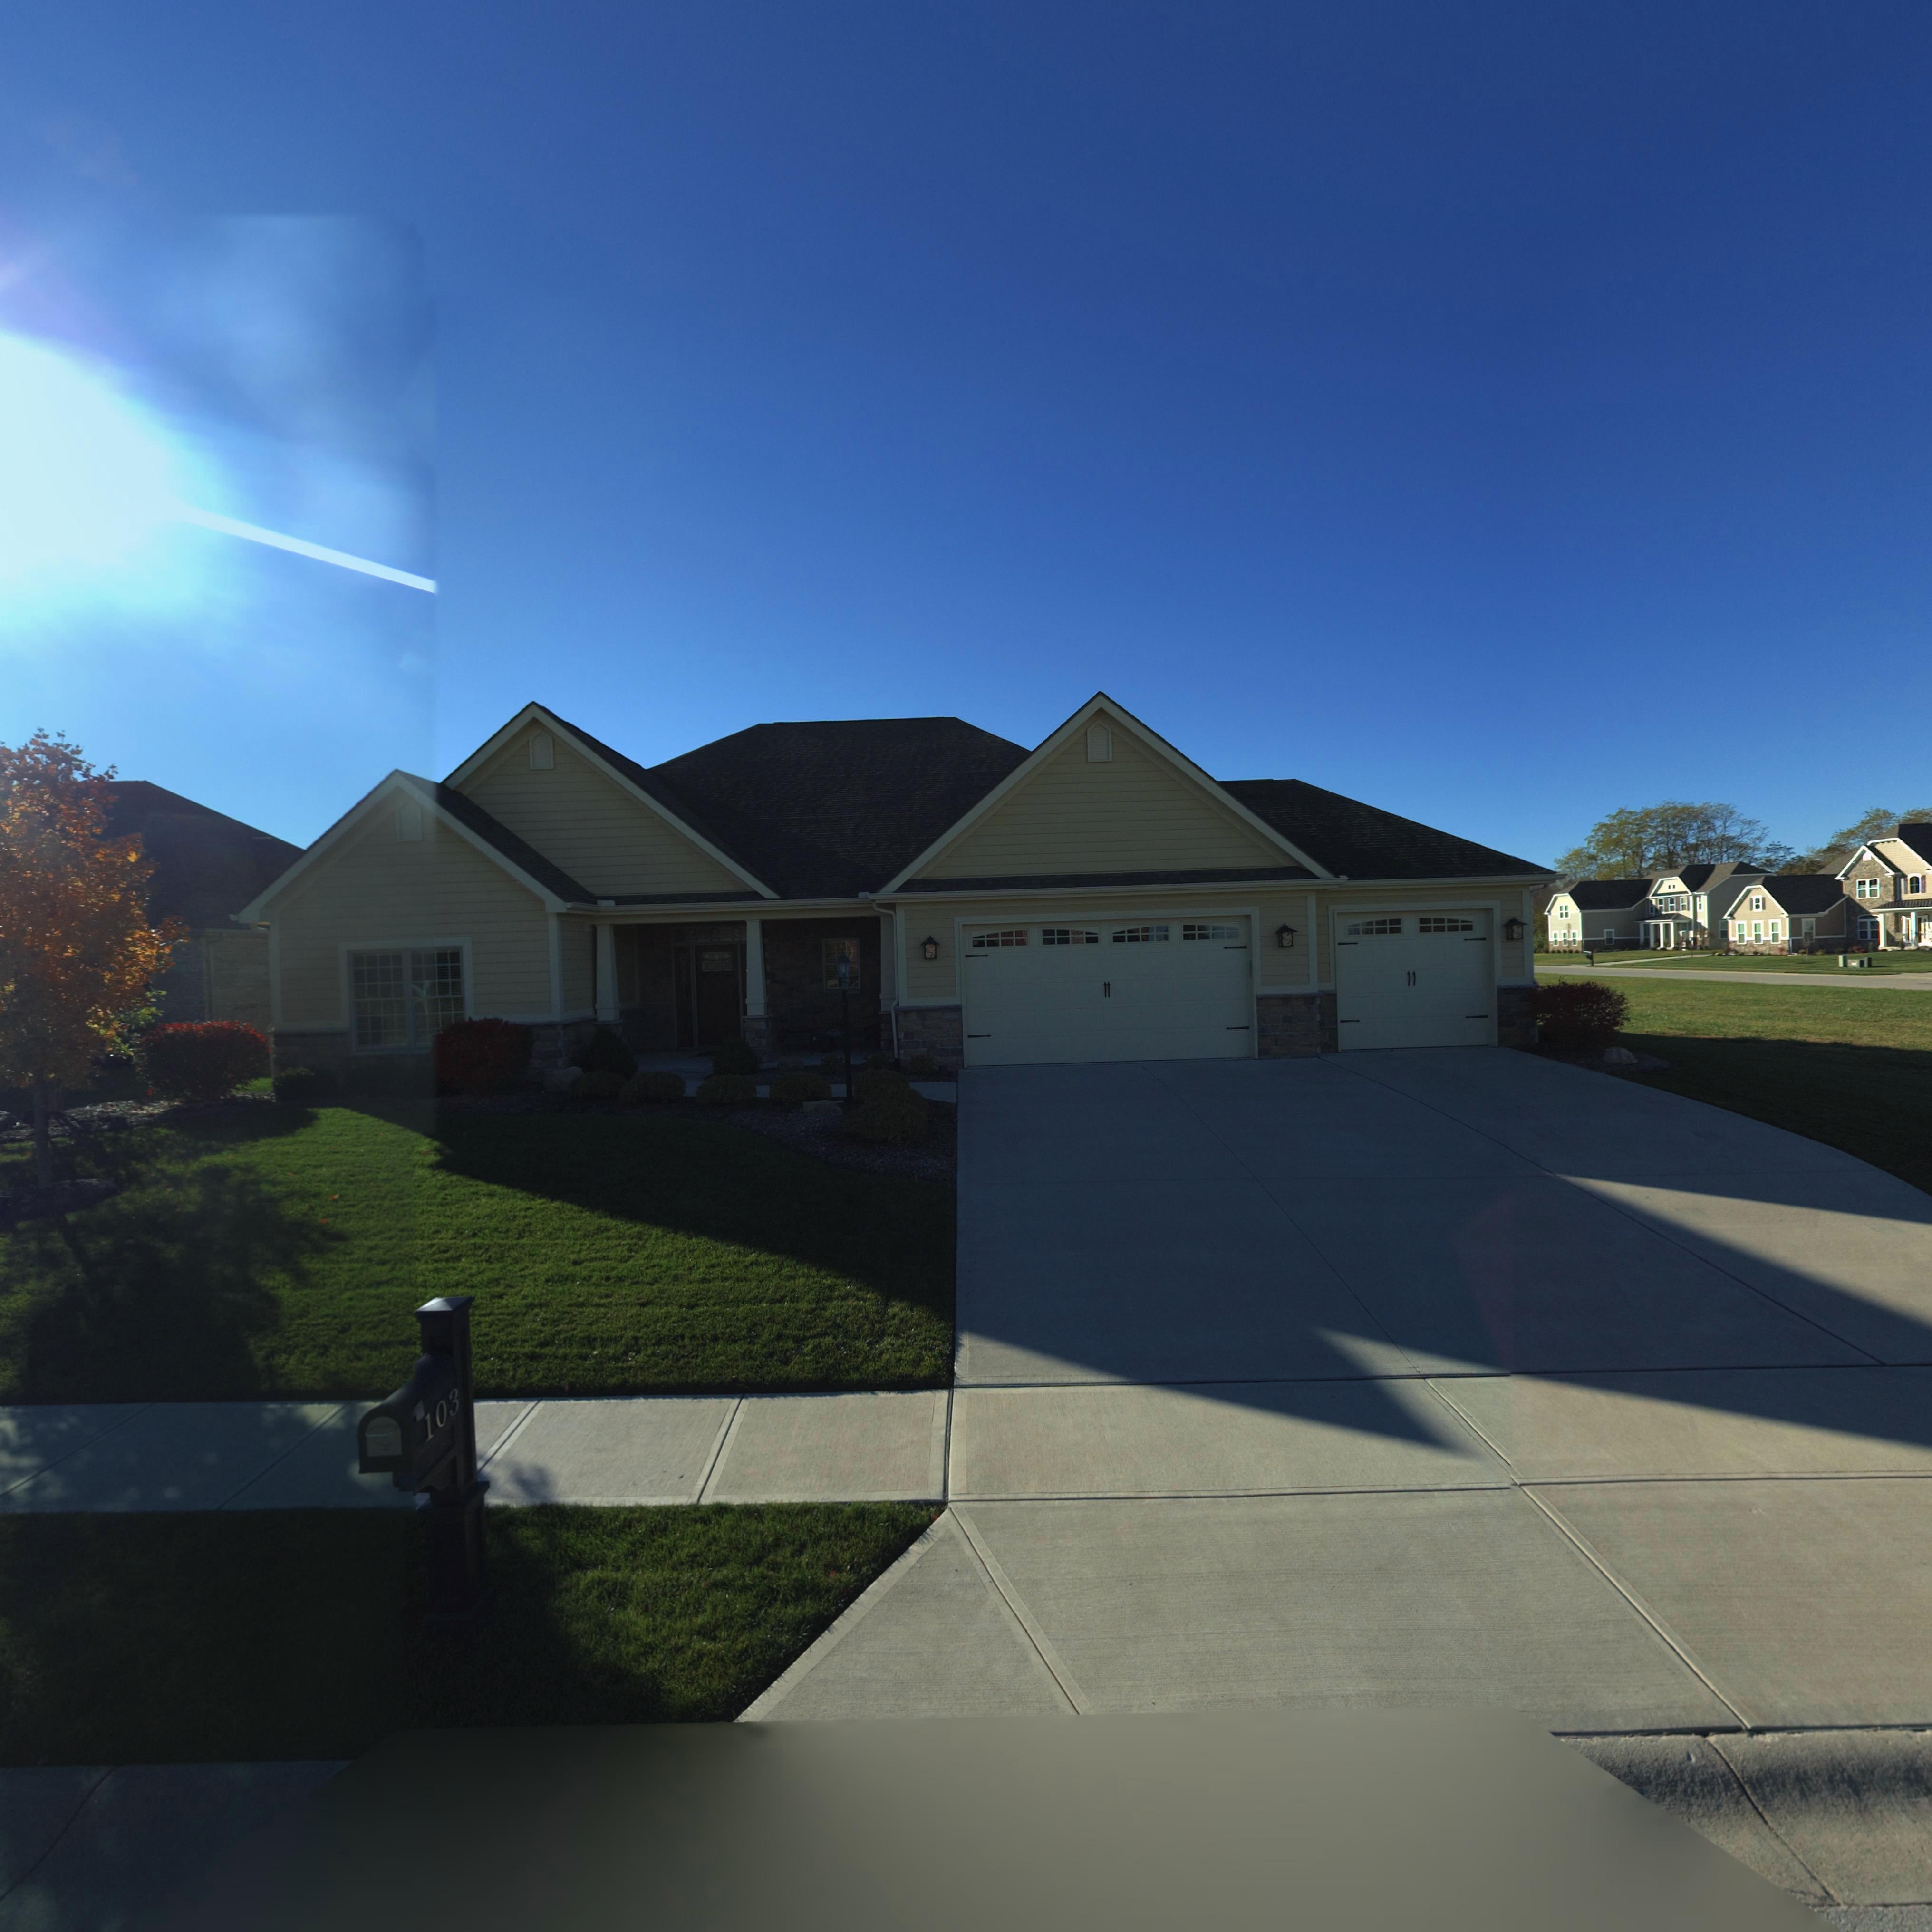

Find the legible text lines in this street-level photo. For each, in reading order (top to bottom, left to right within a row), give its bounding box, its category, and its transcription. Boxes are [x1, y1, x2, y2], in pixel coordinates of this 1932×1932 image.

[423, 1385, 461, 1444] StreetNumber: 103